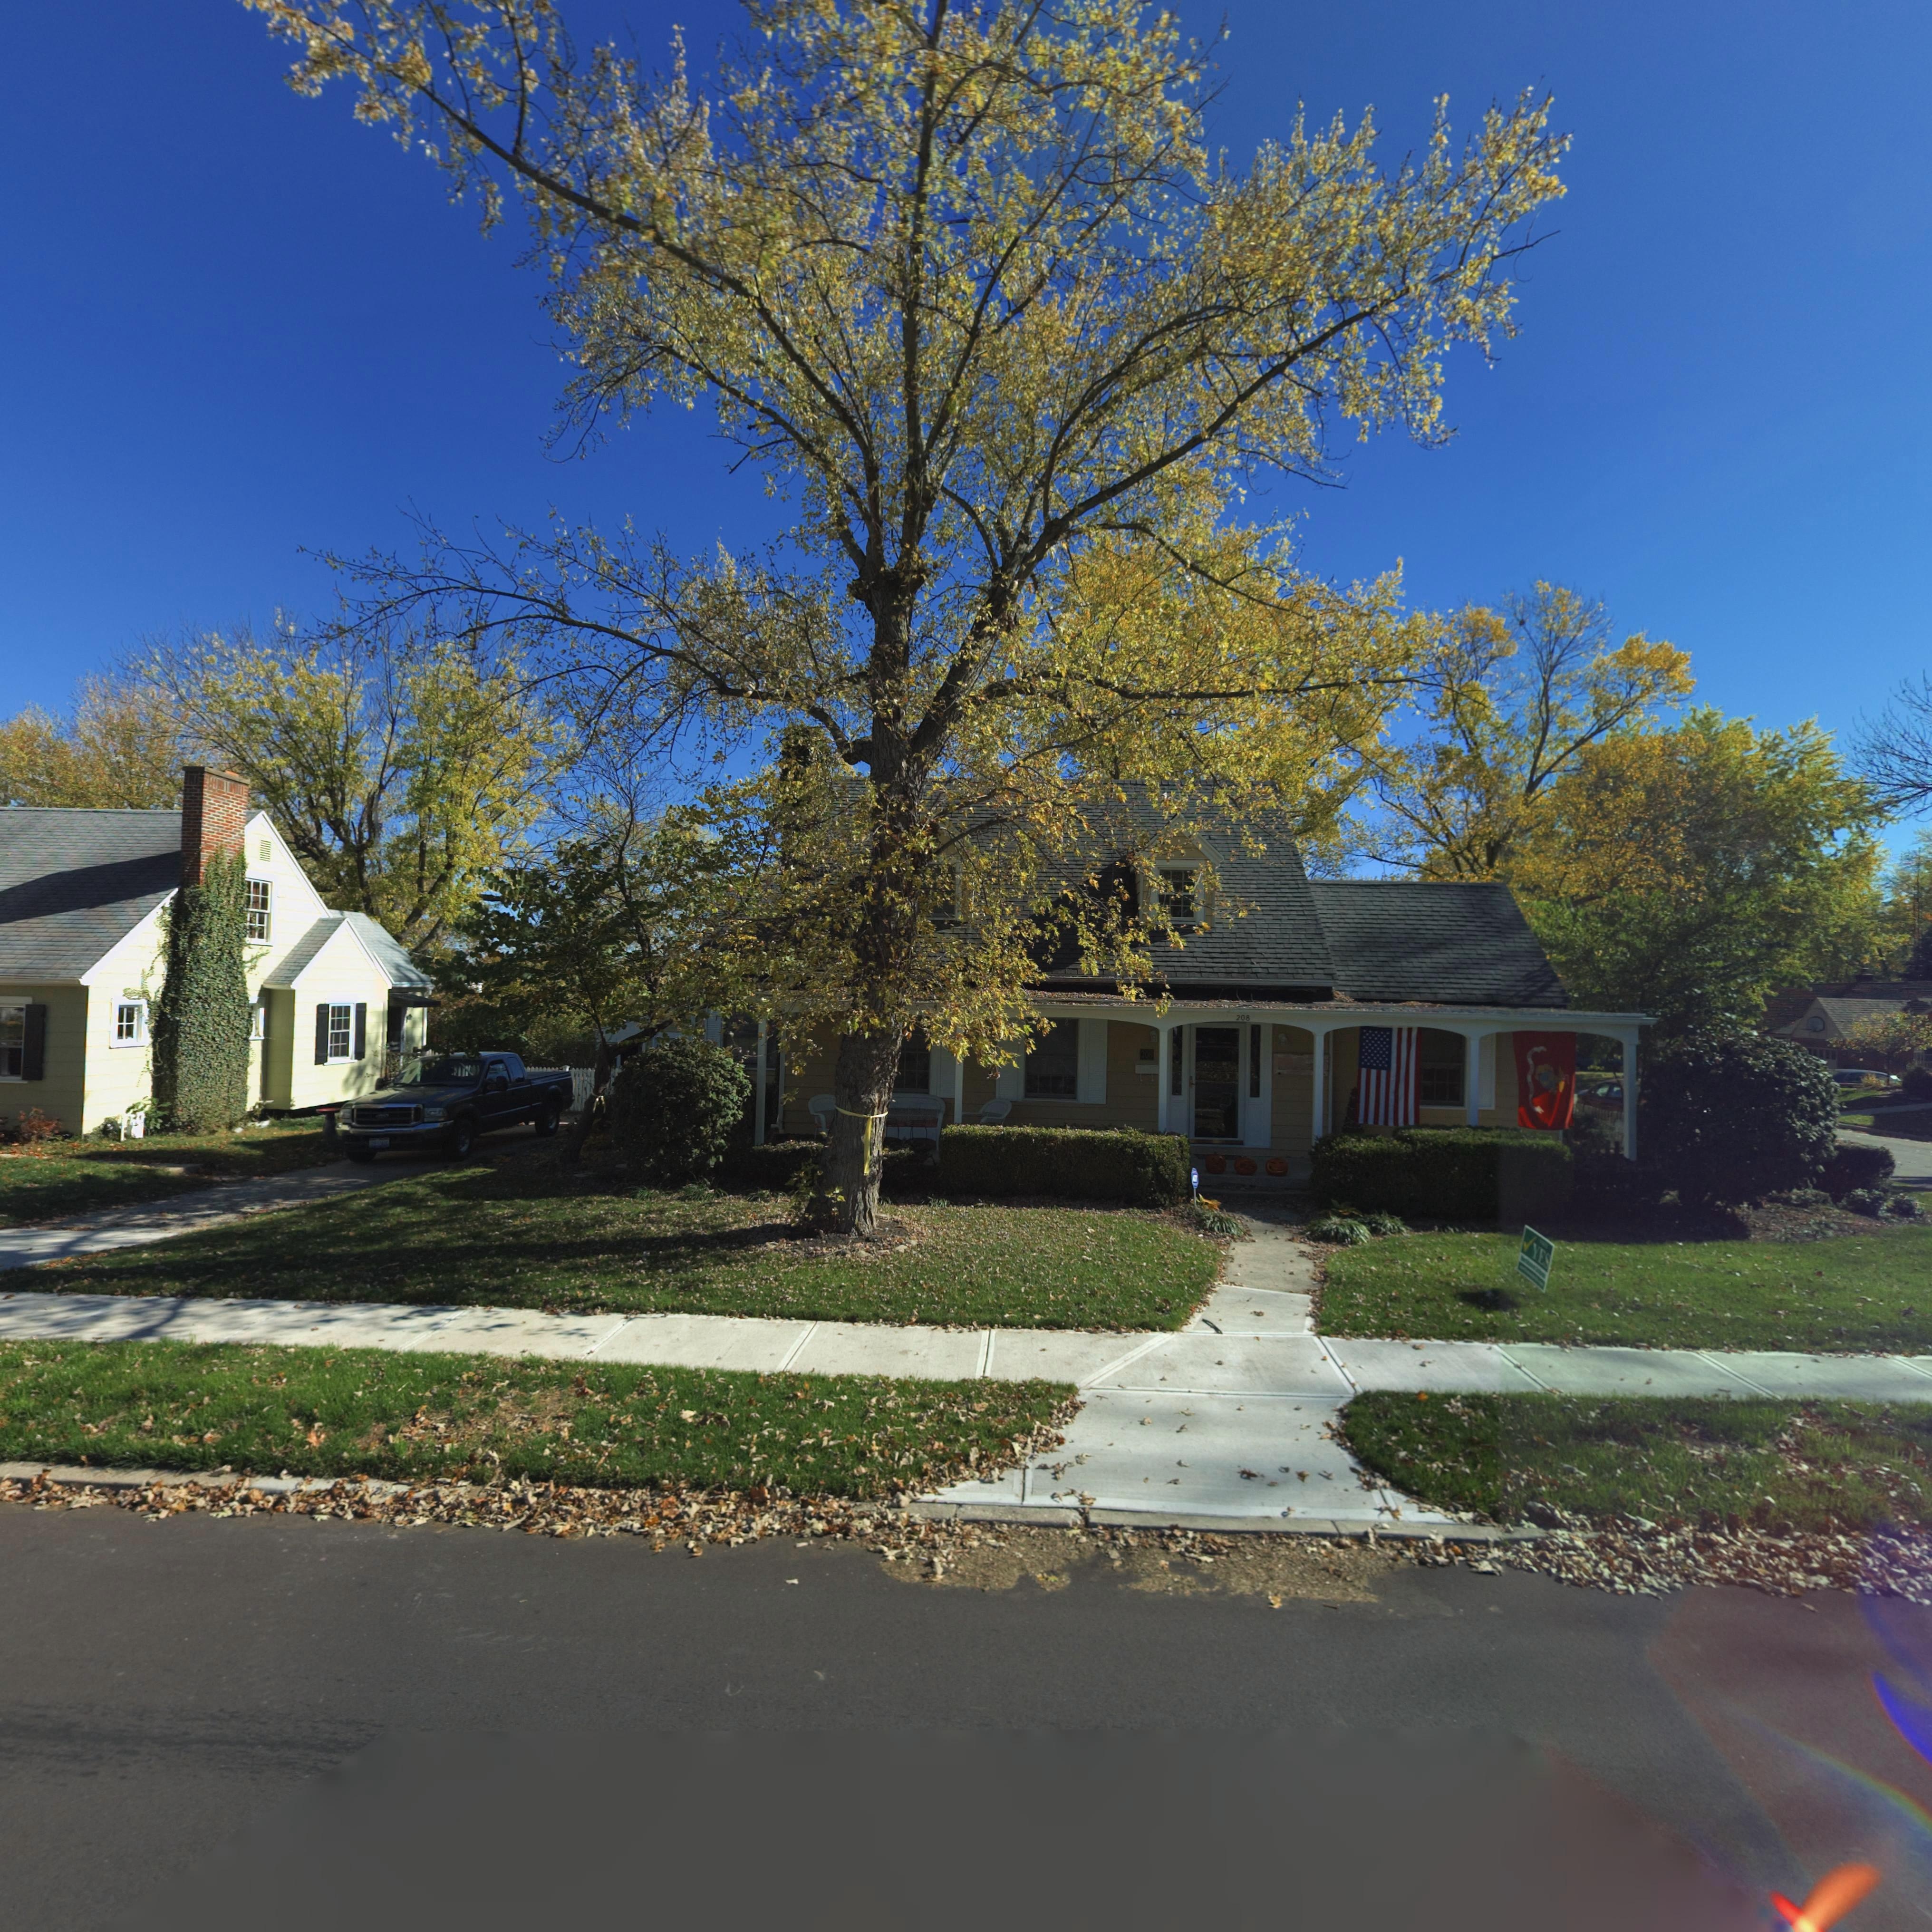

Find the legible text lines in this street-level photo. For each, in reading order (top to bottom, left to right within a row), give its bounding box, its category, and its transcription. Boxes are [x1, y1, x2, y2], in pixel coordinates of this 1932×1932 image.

[1236, 1014, 1250, 1021] StreetNumber: 208
[1531, 1241, 1552, 1271] None: YES